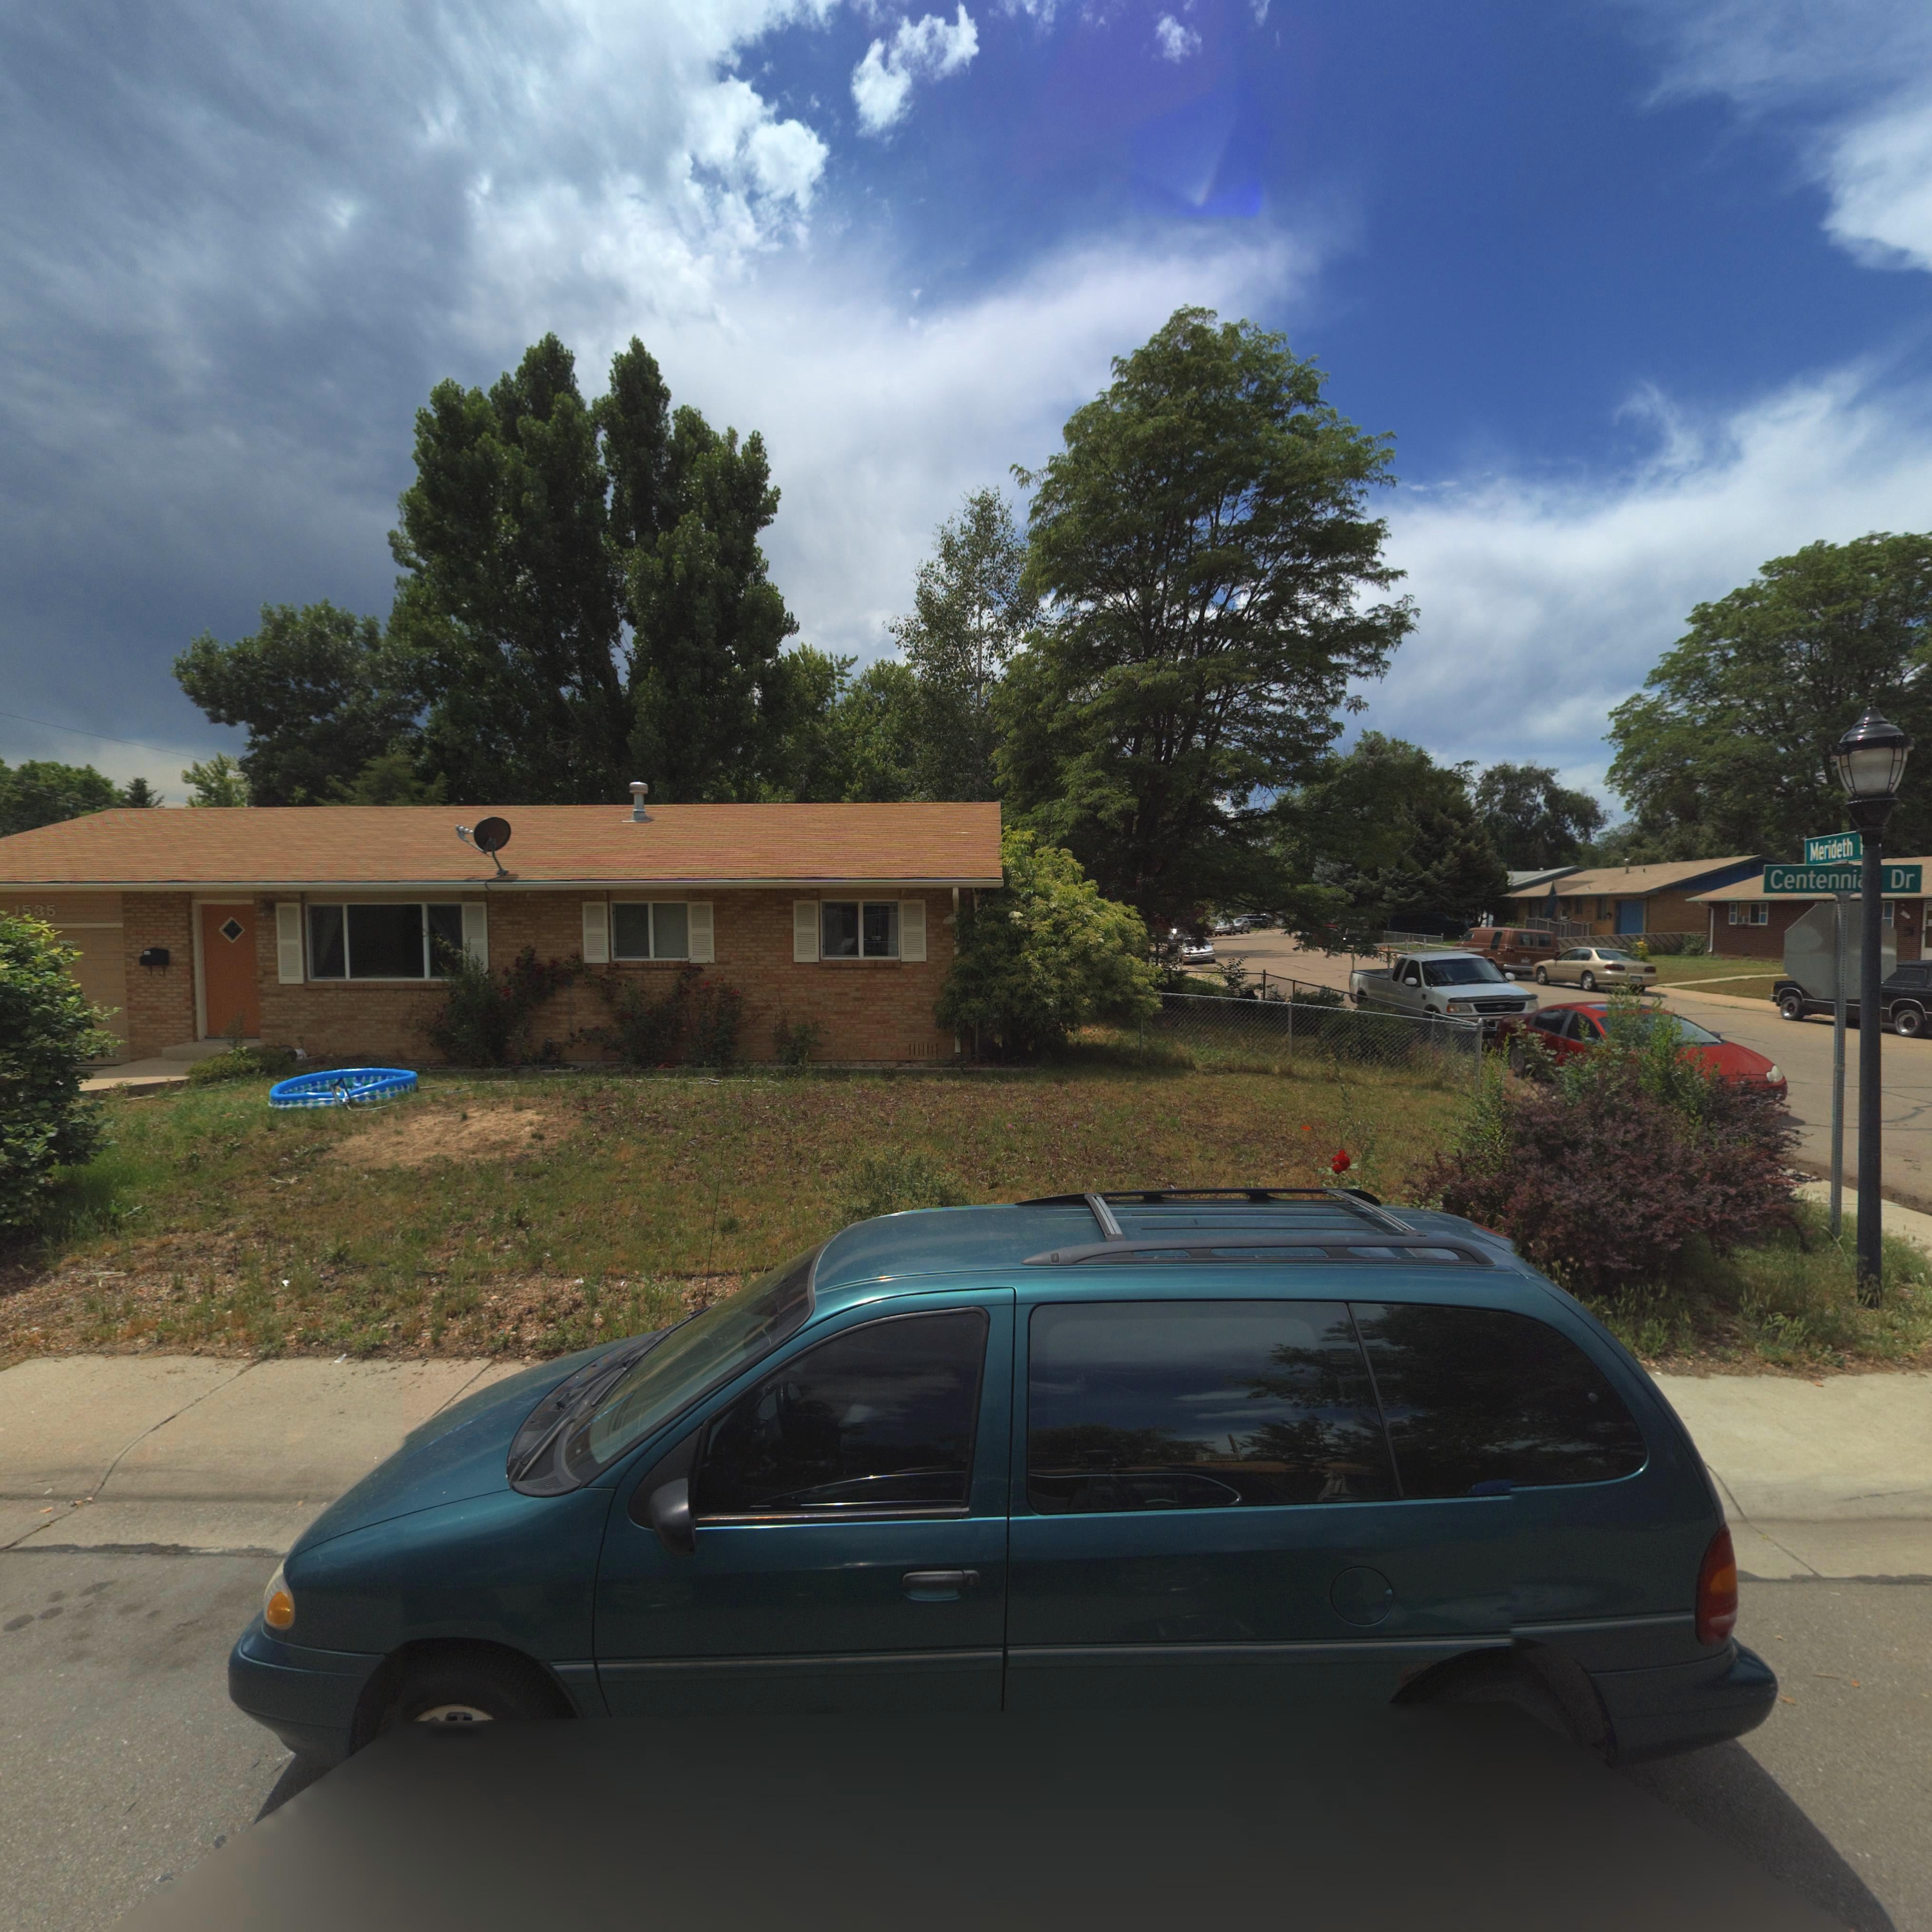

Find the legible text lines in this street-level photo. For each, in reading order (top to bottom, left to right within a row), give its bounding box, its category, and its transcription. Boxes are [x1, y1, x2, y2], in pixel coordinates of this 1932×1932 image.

[1809, 837, 1853, 861] StreetName: Merideth
[1769, 868, 1915, 889] StreetName: Centenni** Dr